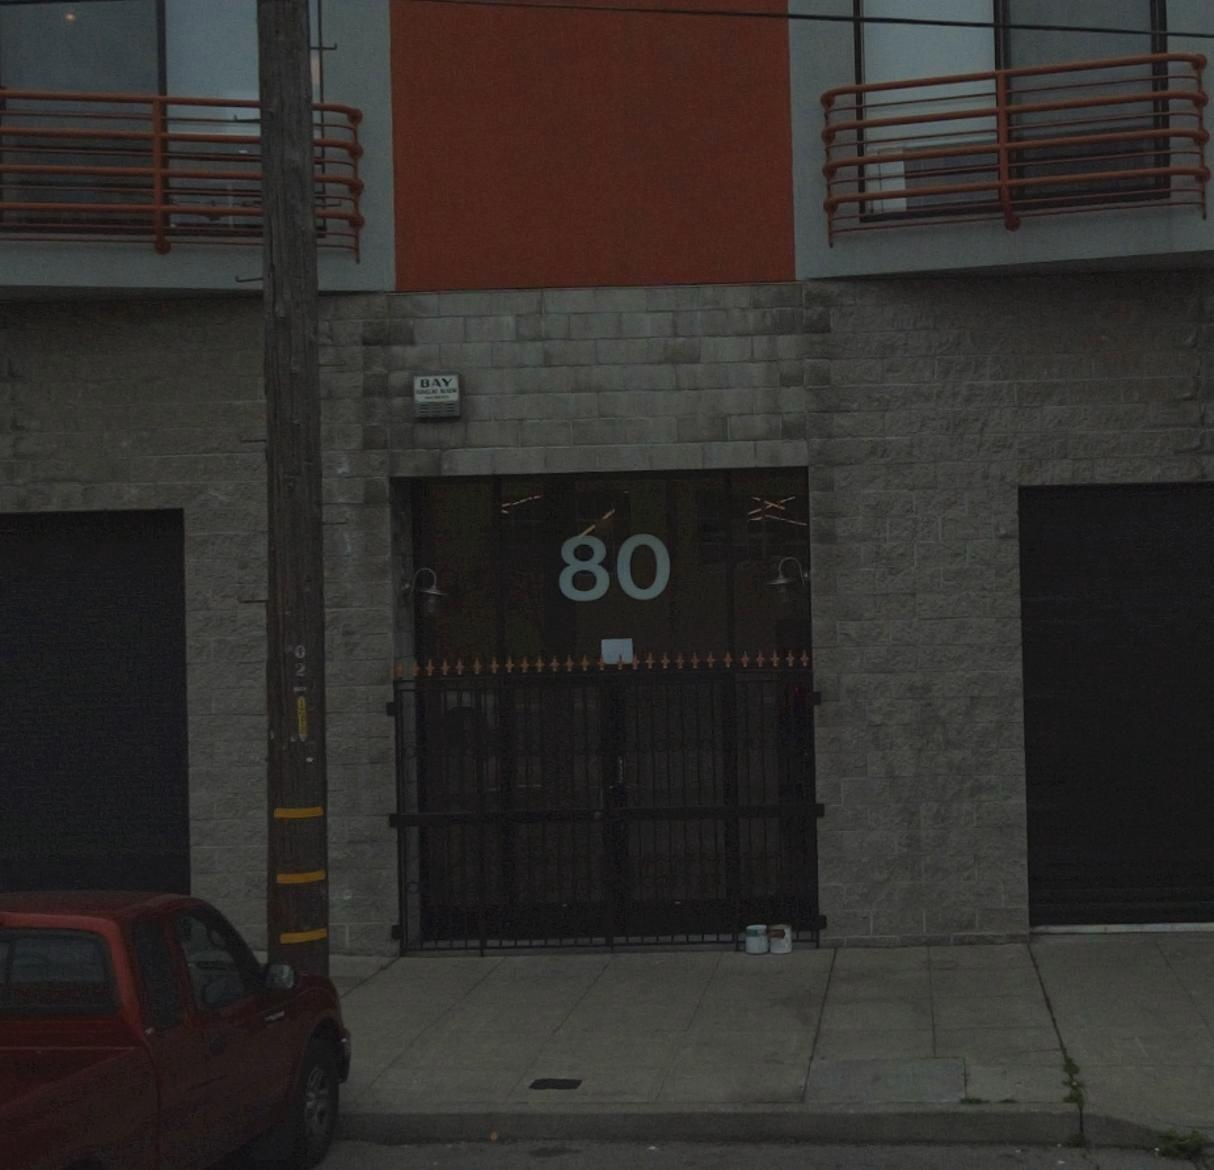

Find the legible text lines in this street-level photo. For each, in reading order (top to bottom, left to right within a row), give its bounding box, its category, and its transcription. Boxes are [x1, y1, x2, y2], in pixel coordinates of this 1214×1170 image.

[420, 377, 453, 388] None: BAY
[415, 388, 458, 394] None: BURGLAR ALARM
[557, 533, 672, 603] StreetNumber: 80
[294, 644, 307, 676] None: 02